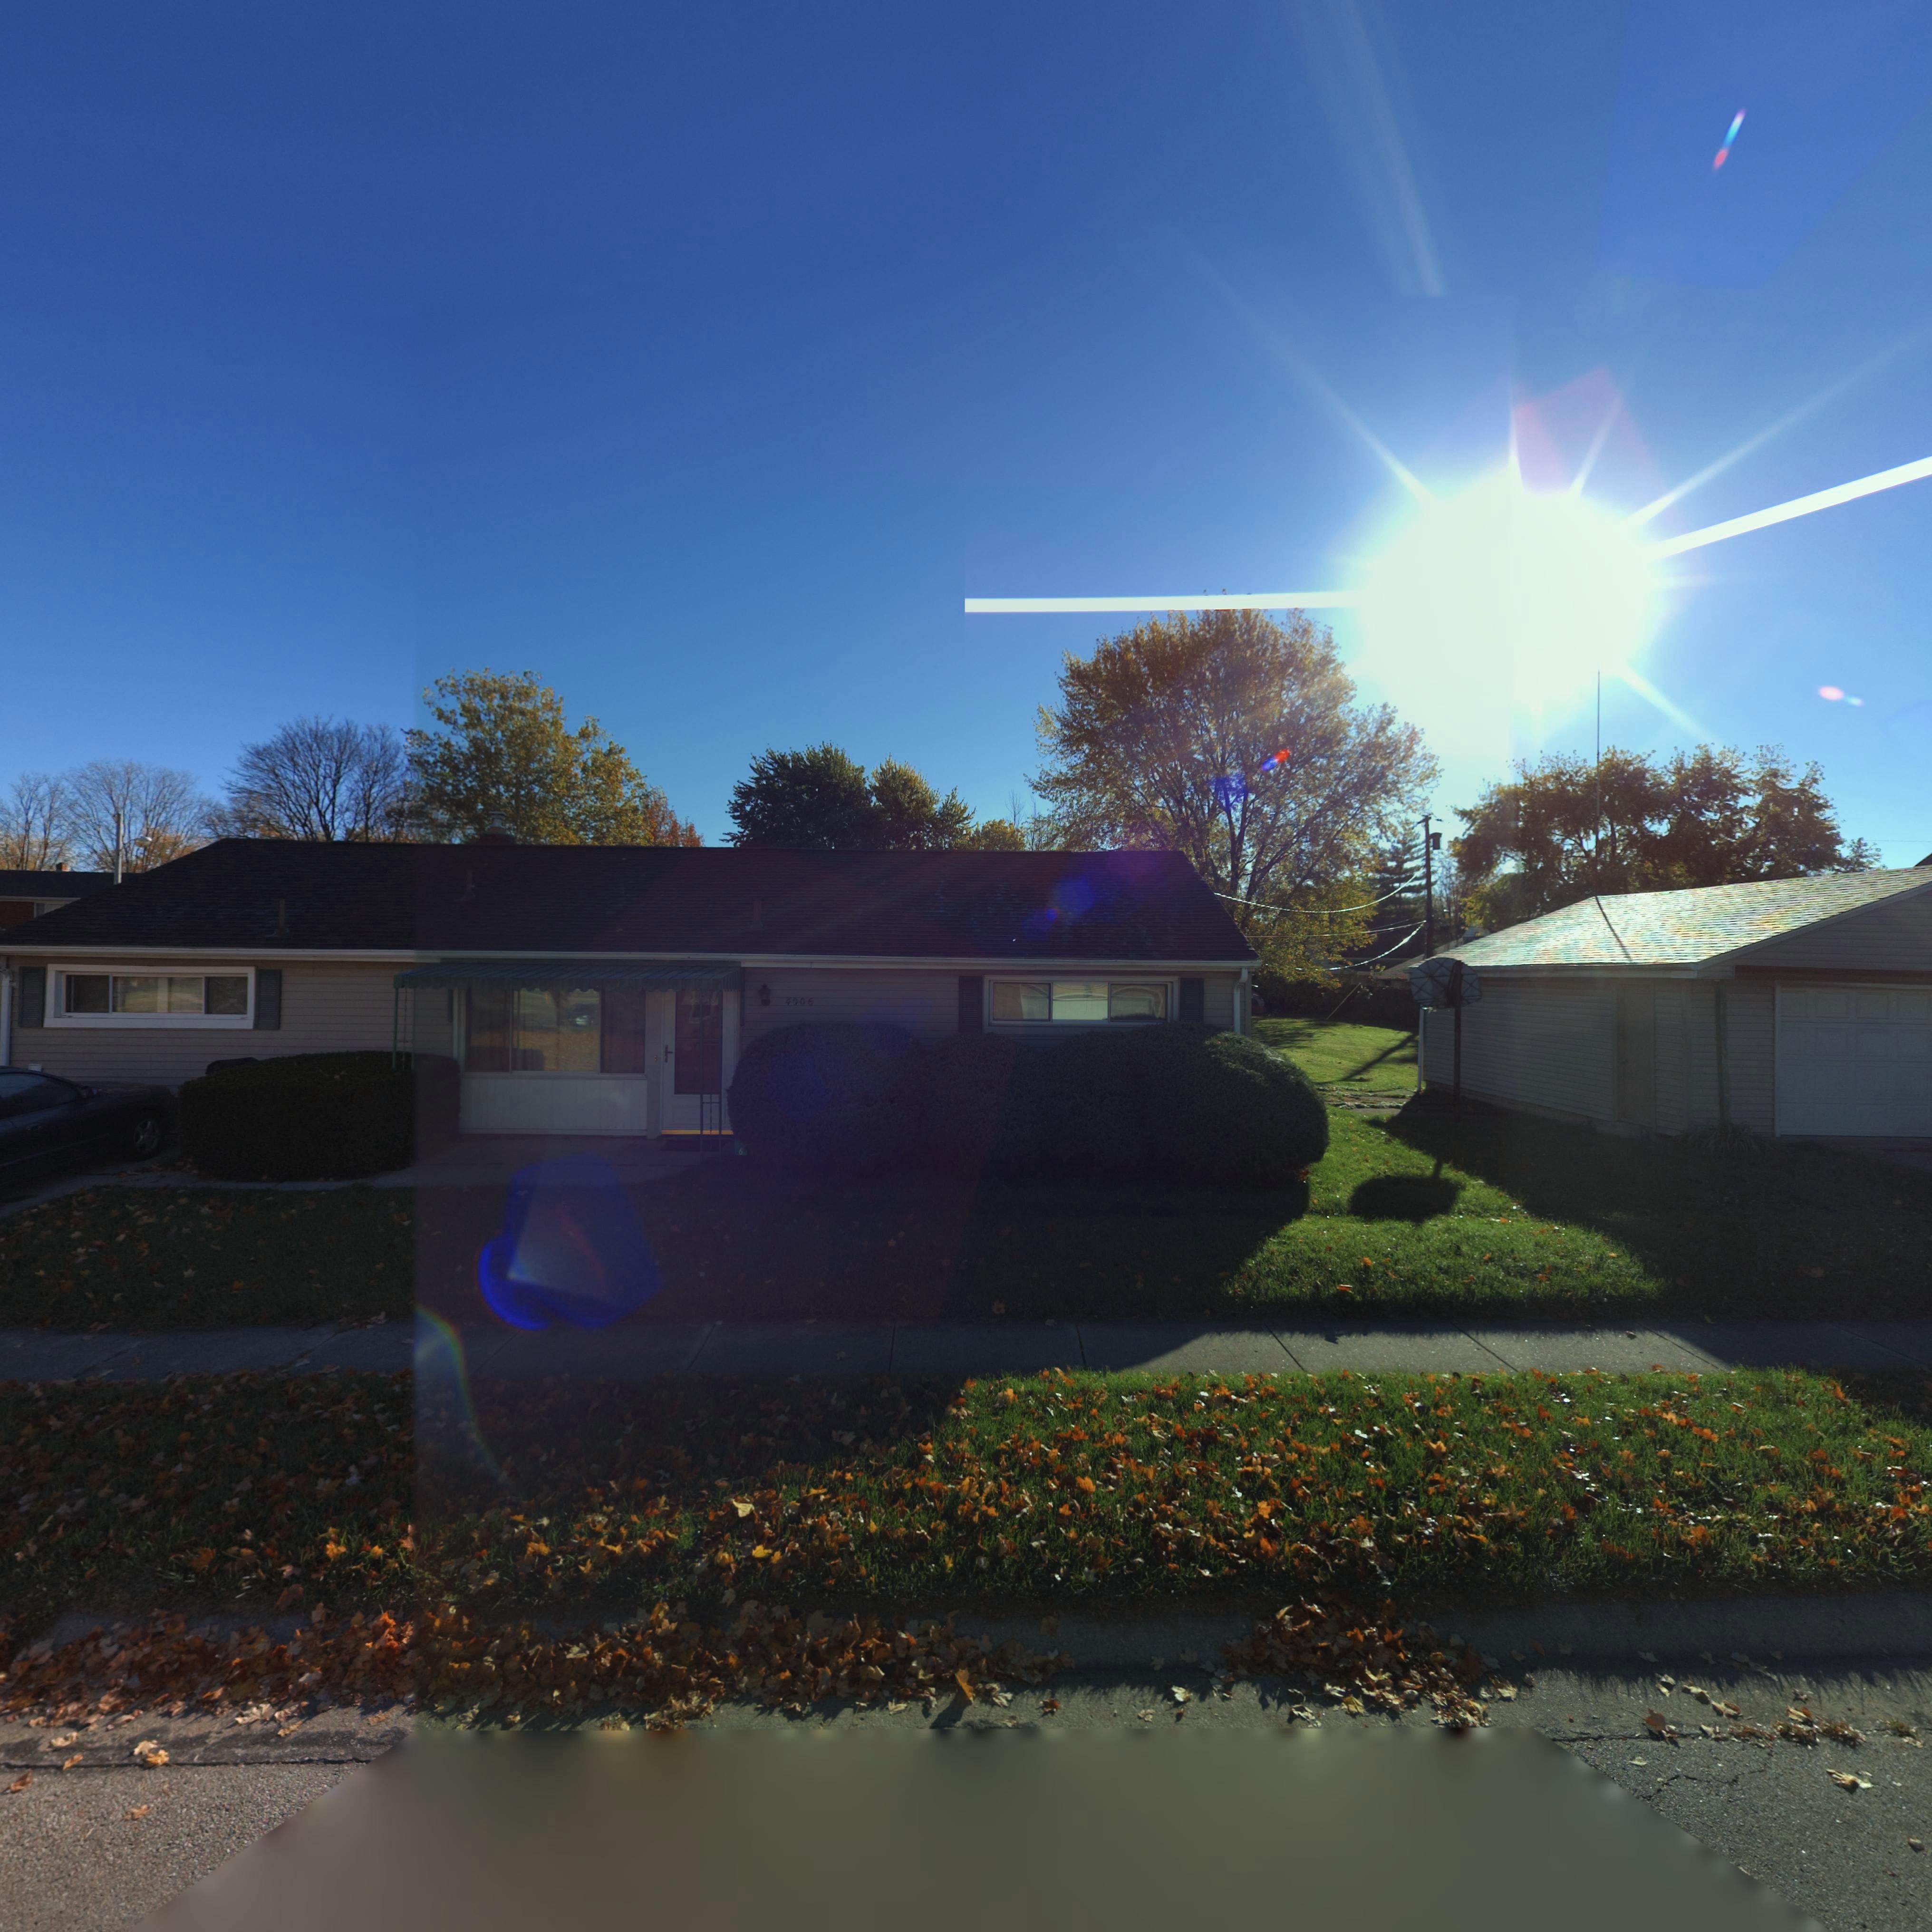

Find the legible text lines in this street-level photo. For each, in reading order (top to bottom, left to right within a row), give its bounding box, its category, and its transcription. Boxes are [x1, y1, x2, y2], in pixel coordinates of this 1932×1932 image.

[784, 996, 815, 1007] StreetNumber: 4906